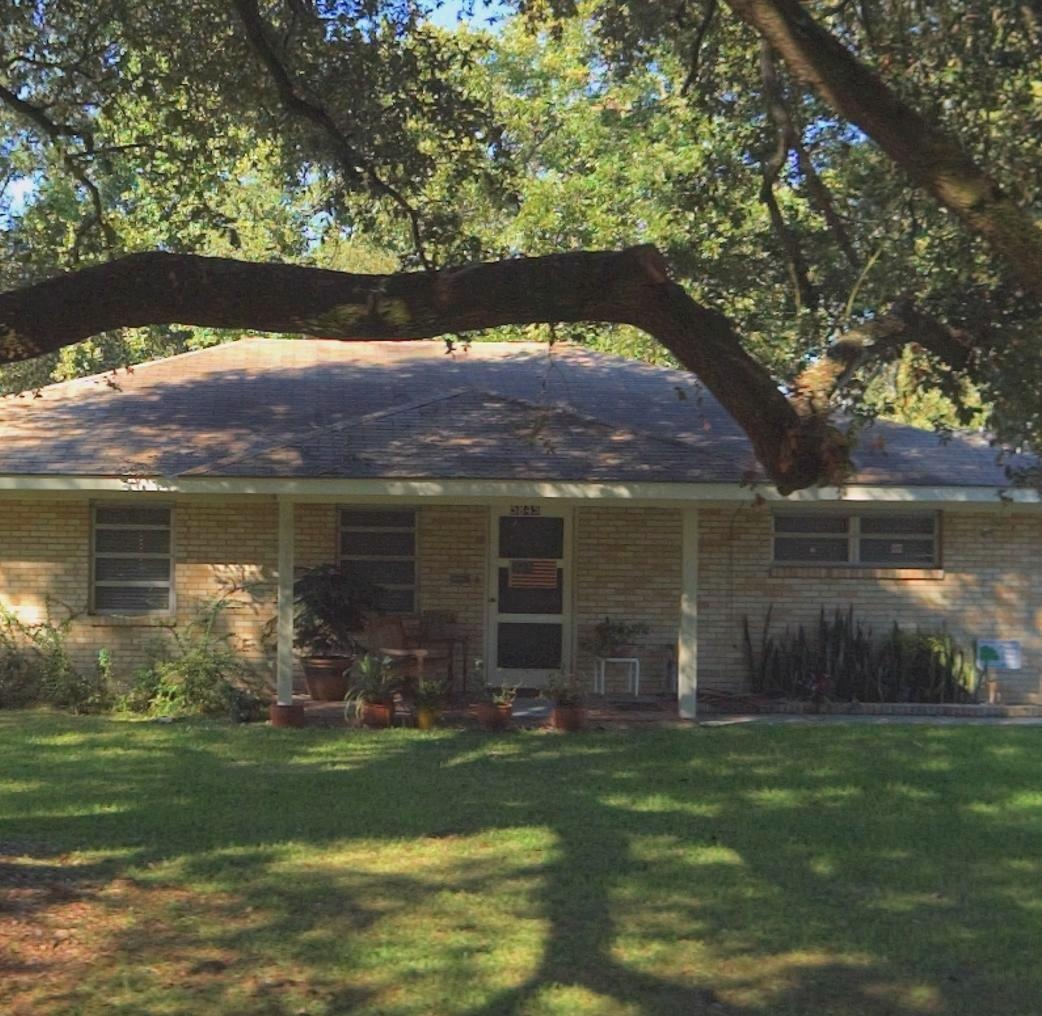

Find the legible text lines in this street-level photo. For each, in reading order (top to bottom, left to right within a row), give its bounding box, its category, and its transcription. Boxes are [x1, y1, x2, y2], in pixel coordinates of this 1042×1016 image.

[509, 505, 540, 516] StreetNumber: 5845